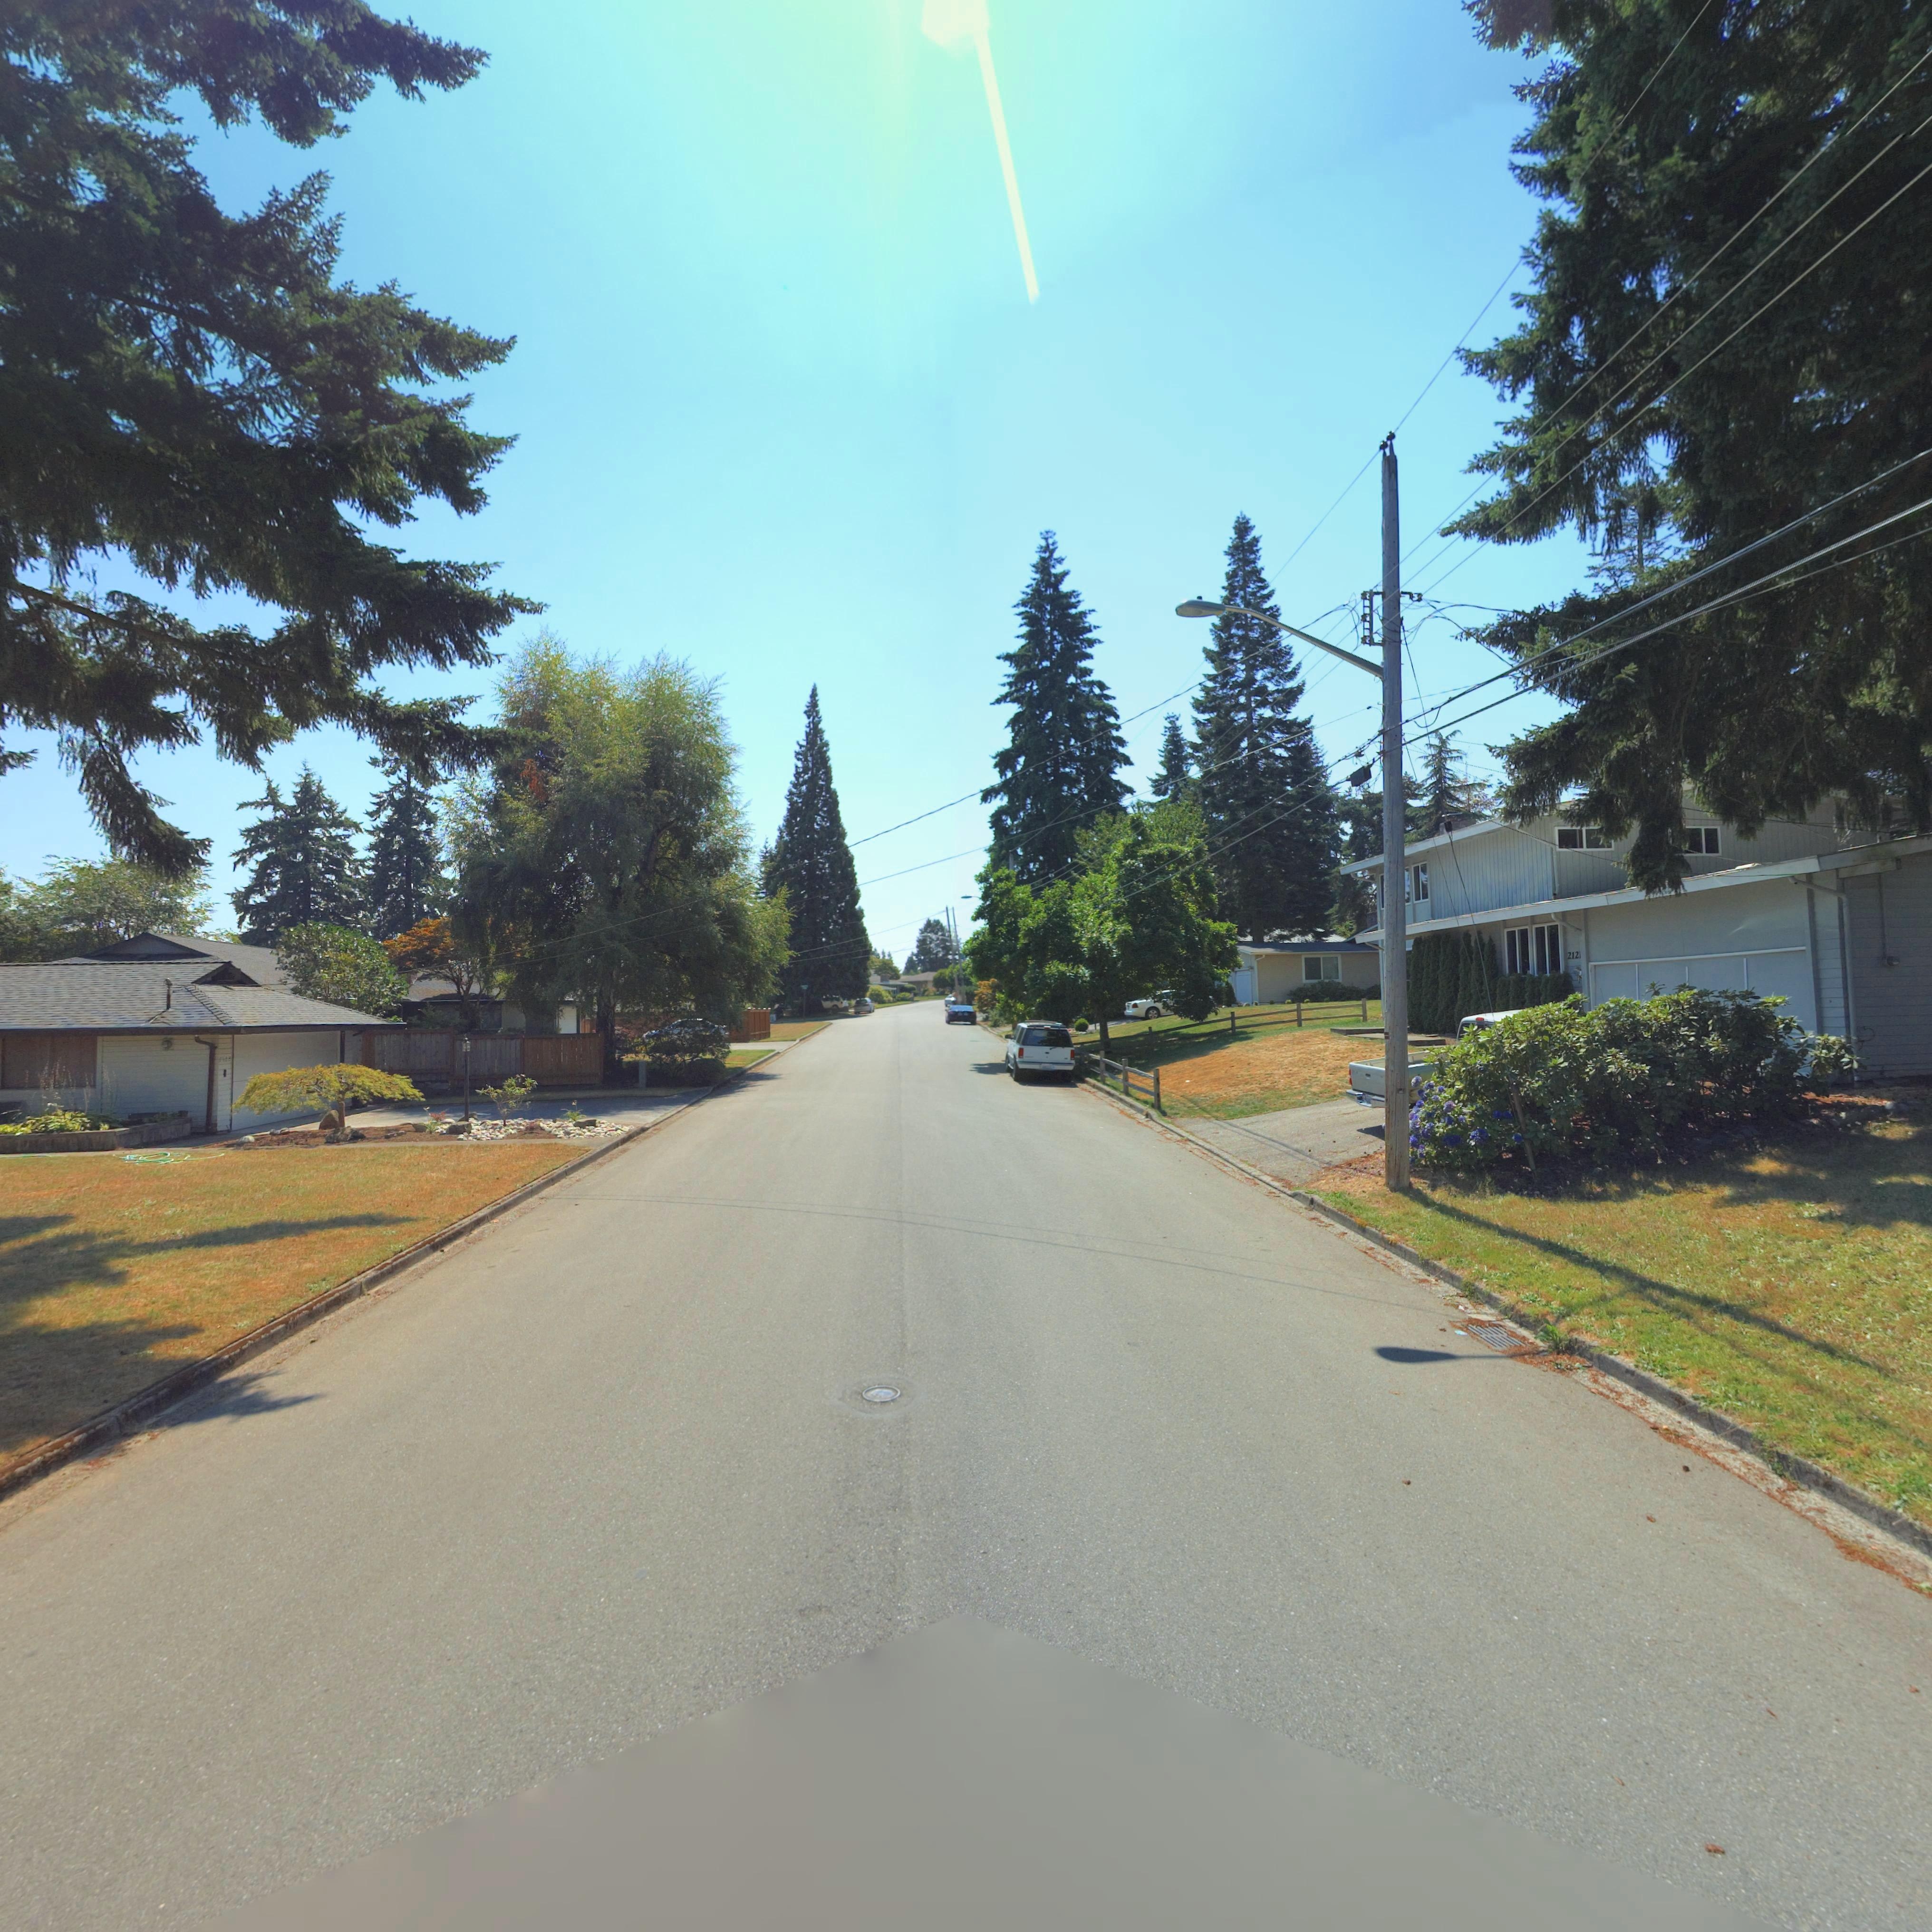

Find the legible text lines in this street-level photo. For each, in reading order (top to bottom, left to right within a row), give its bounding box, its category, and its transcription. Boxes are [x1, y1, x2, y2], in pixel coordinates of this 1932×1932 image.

[1567, 951, 1579, 959] StreetNumber: 212